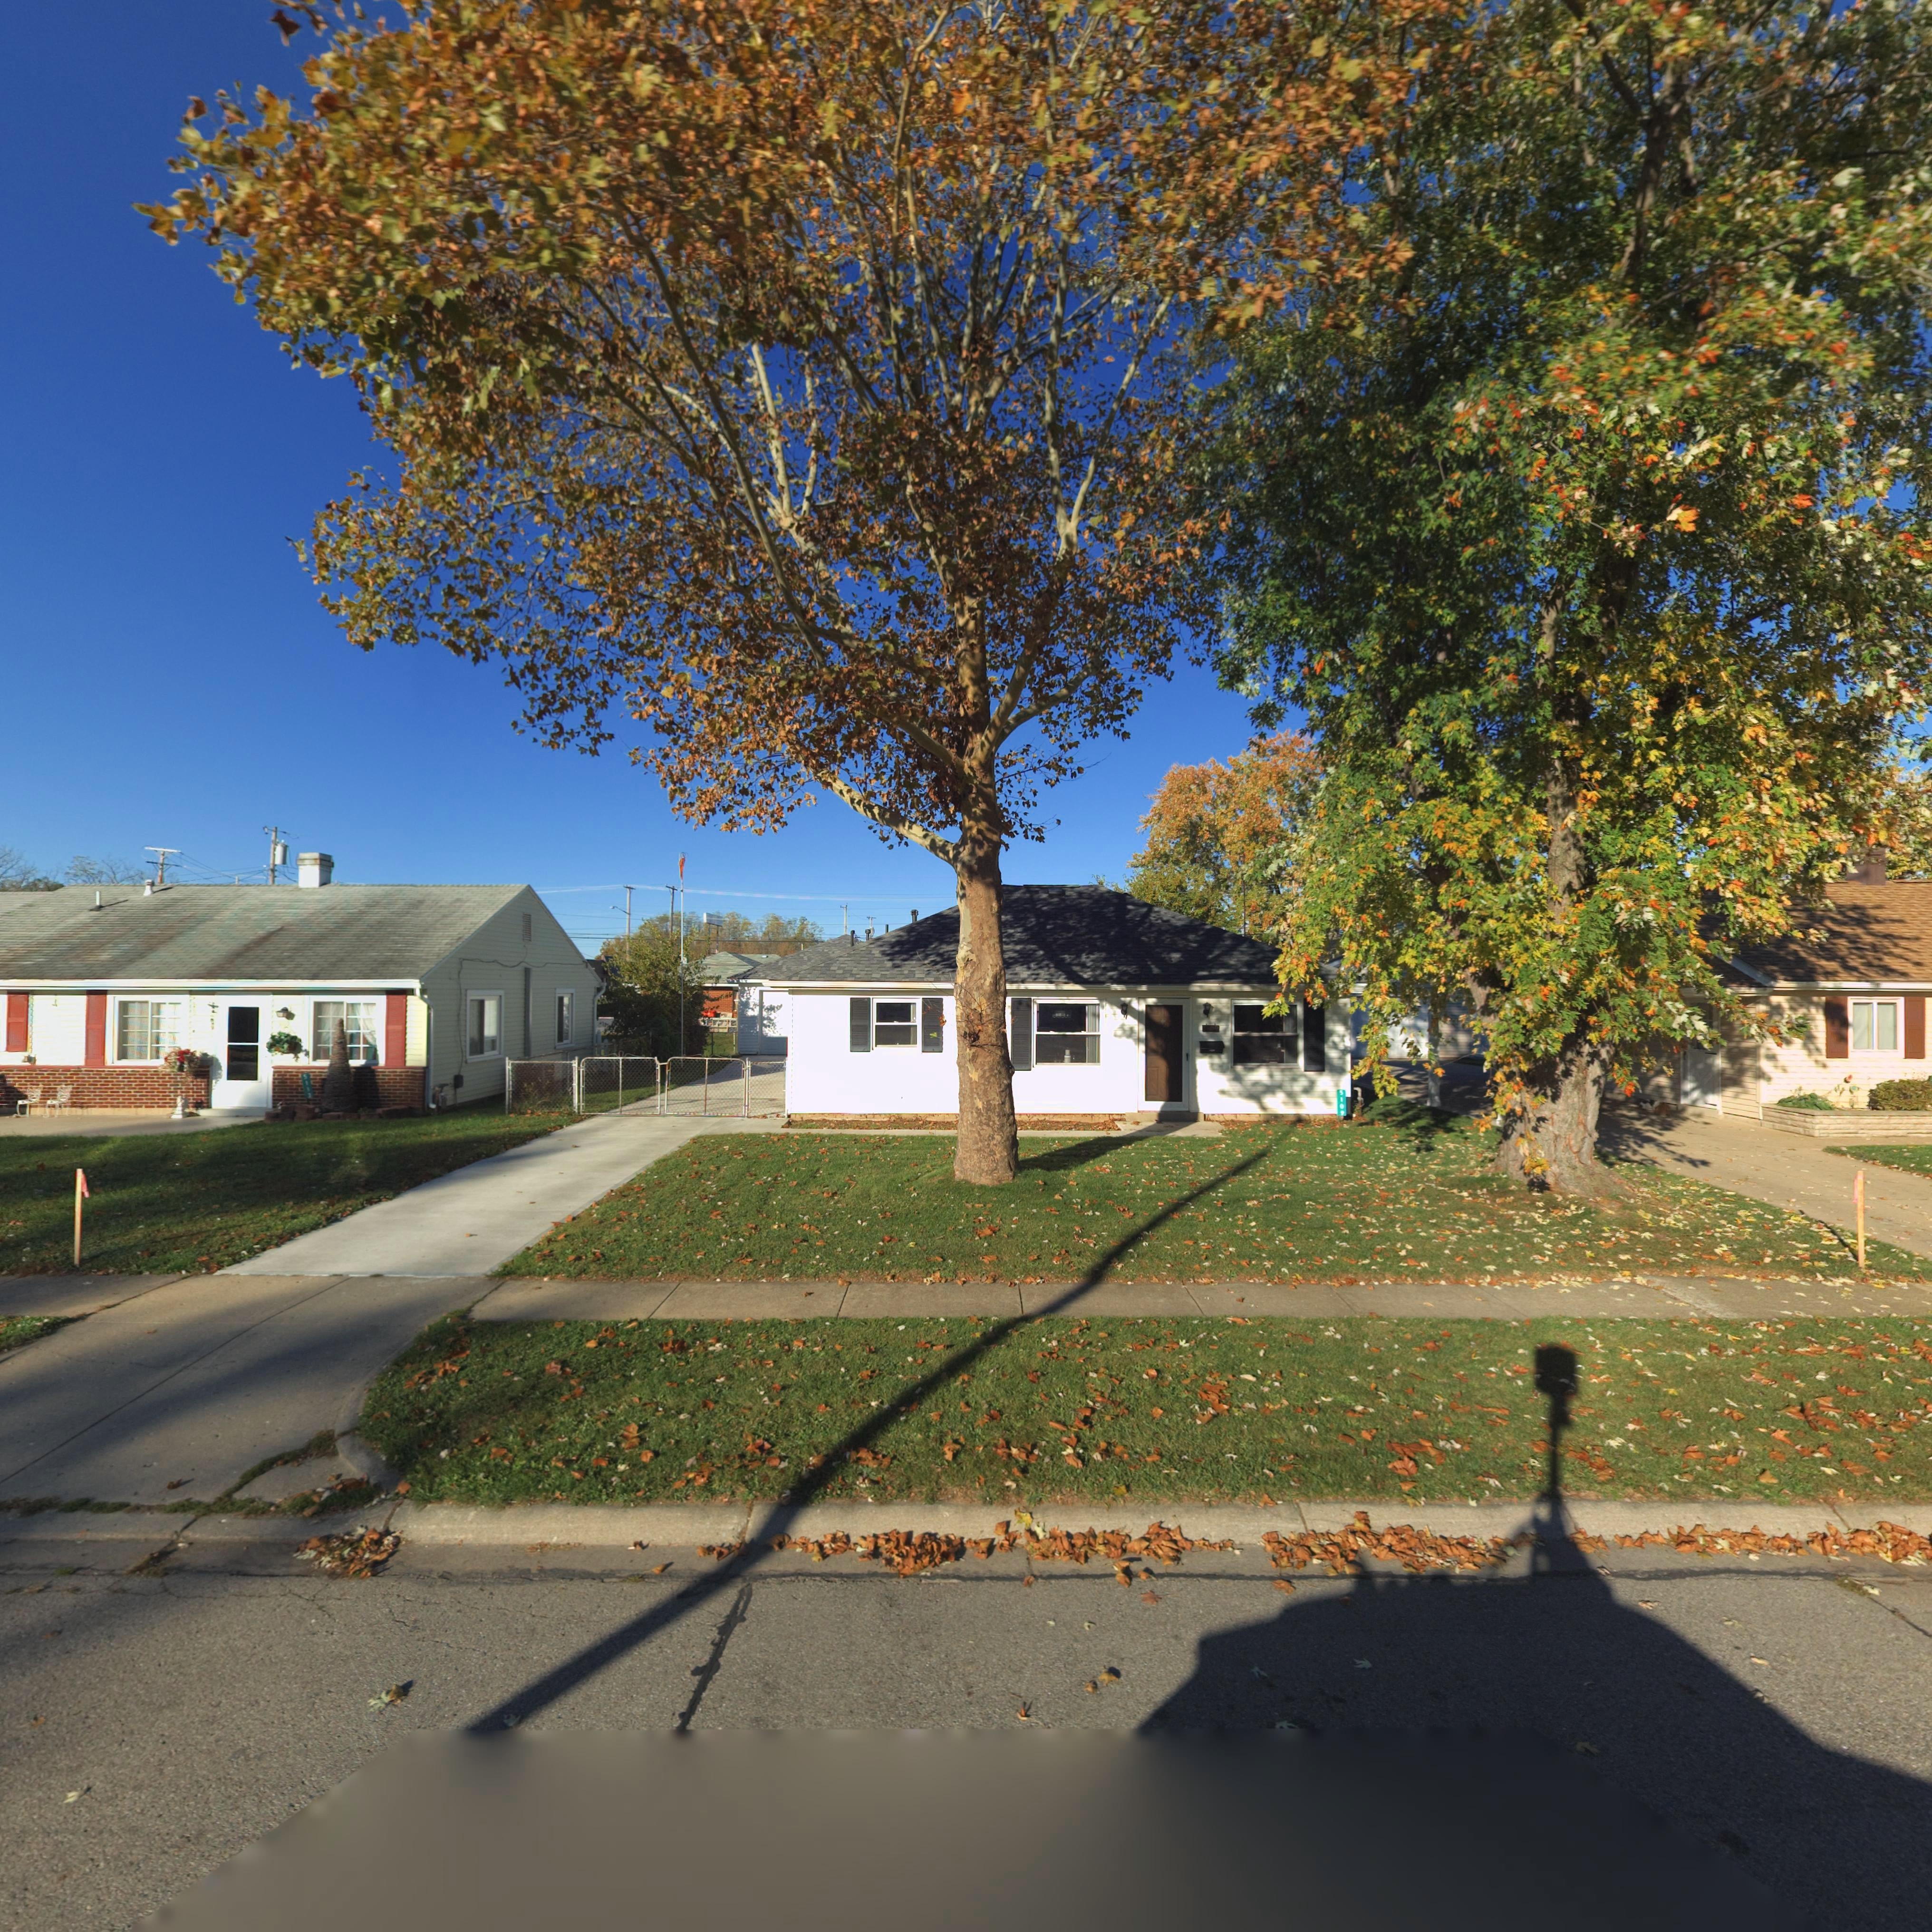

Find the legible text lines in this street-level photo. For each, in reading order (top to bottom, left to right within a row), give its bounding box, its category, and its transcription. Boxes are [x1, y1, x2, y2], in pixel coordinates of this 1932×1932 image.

[1203, 1025, 1219, 1032] StreetNumber: 5*09
[302, 1073, 313, 1100] StreetNumber: 5113